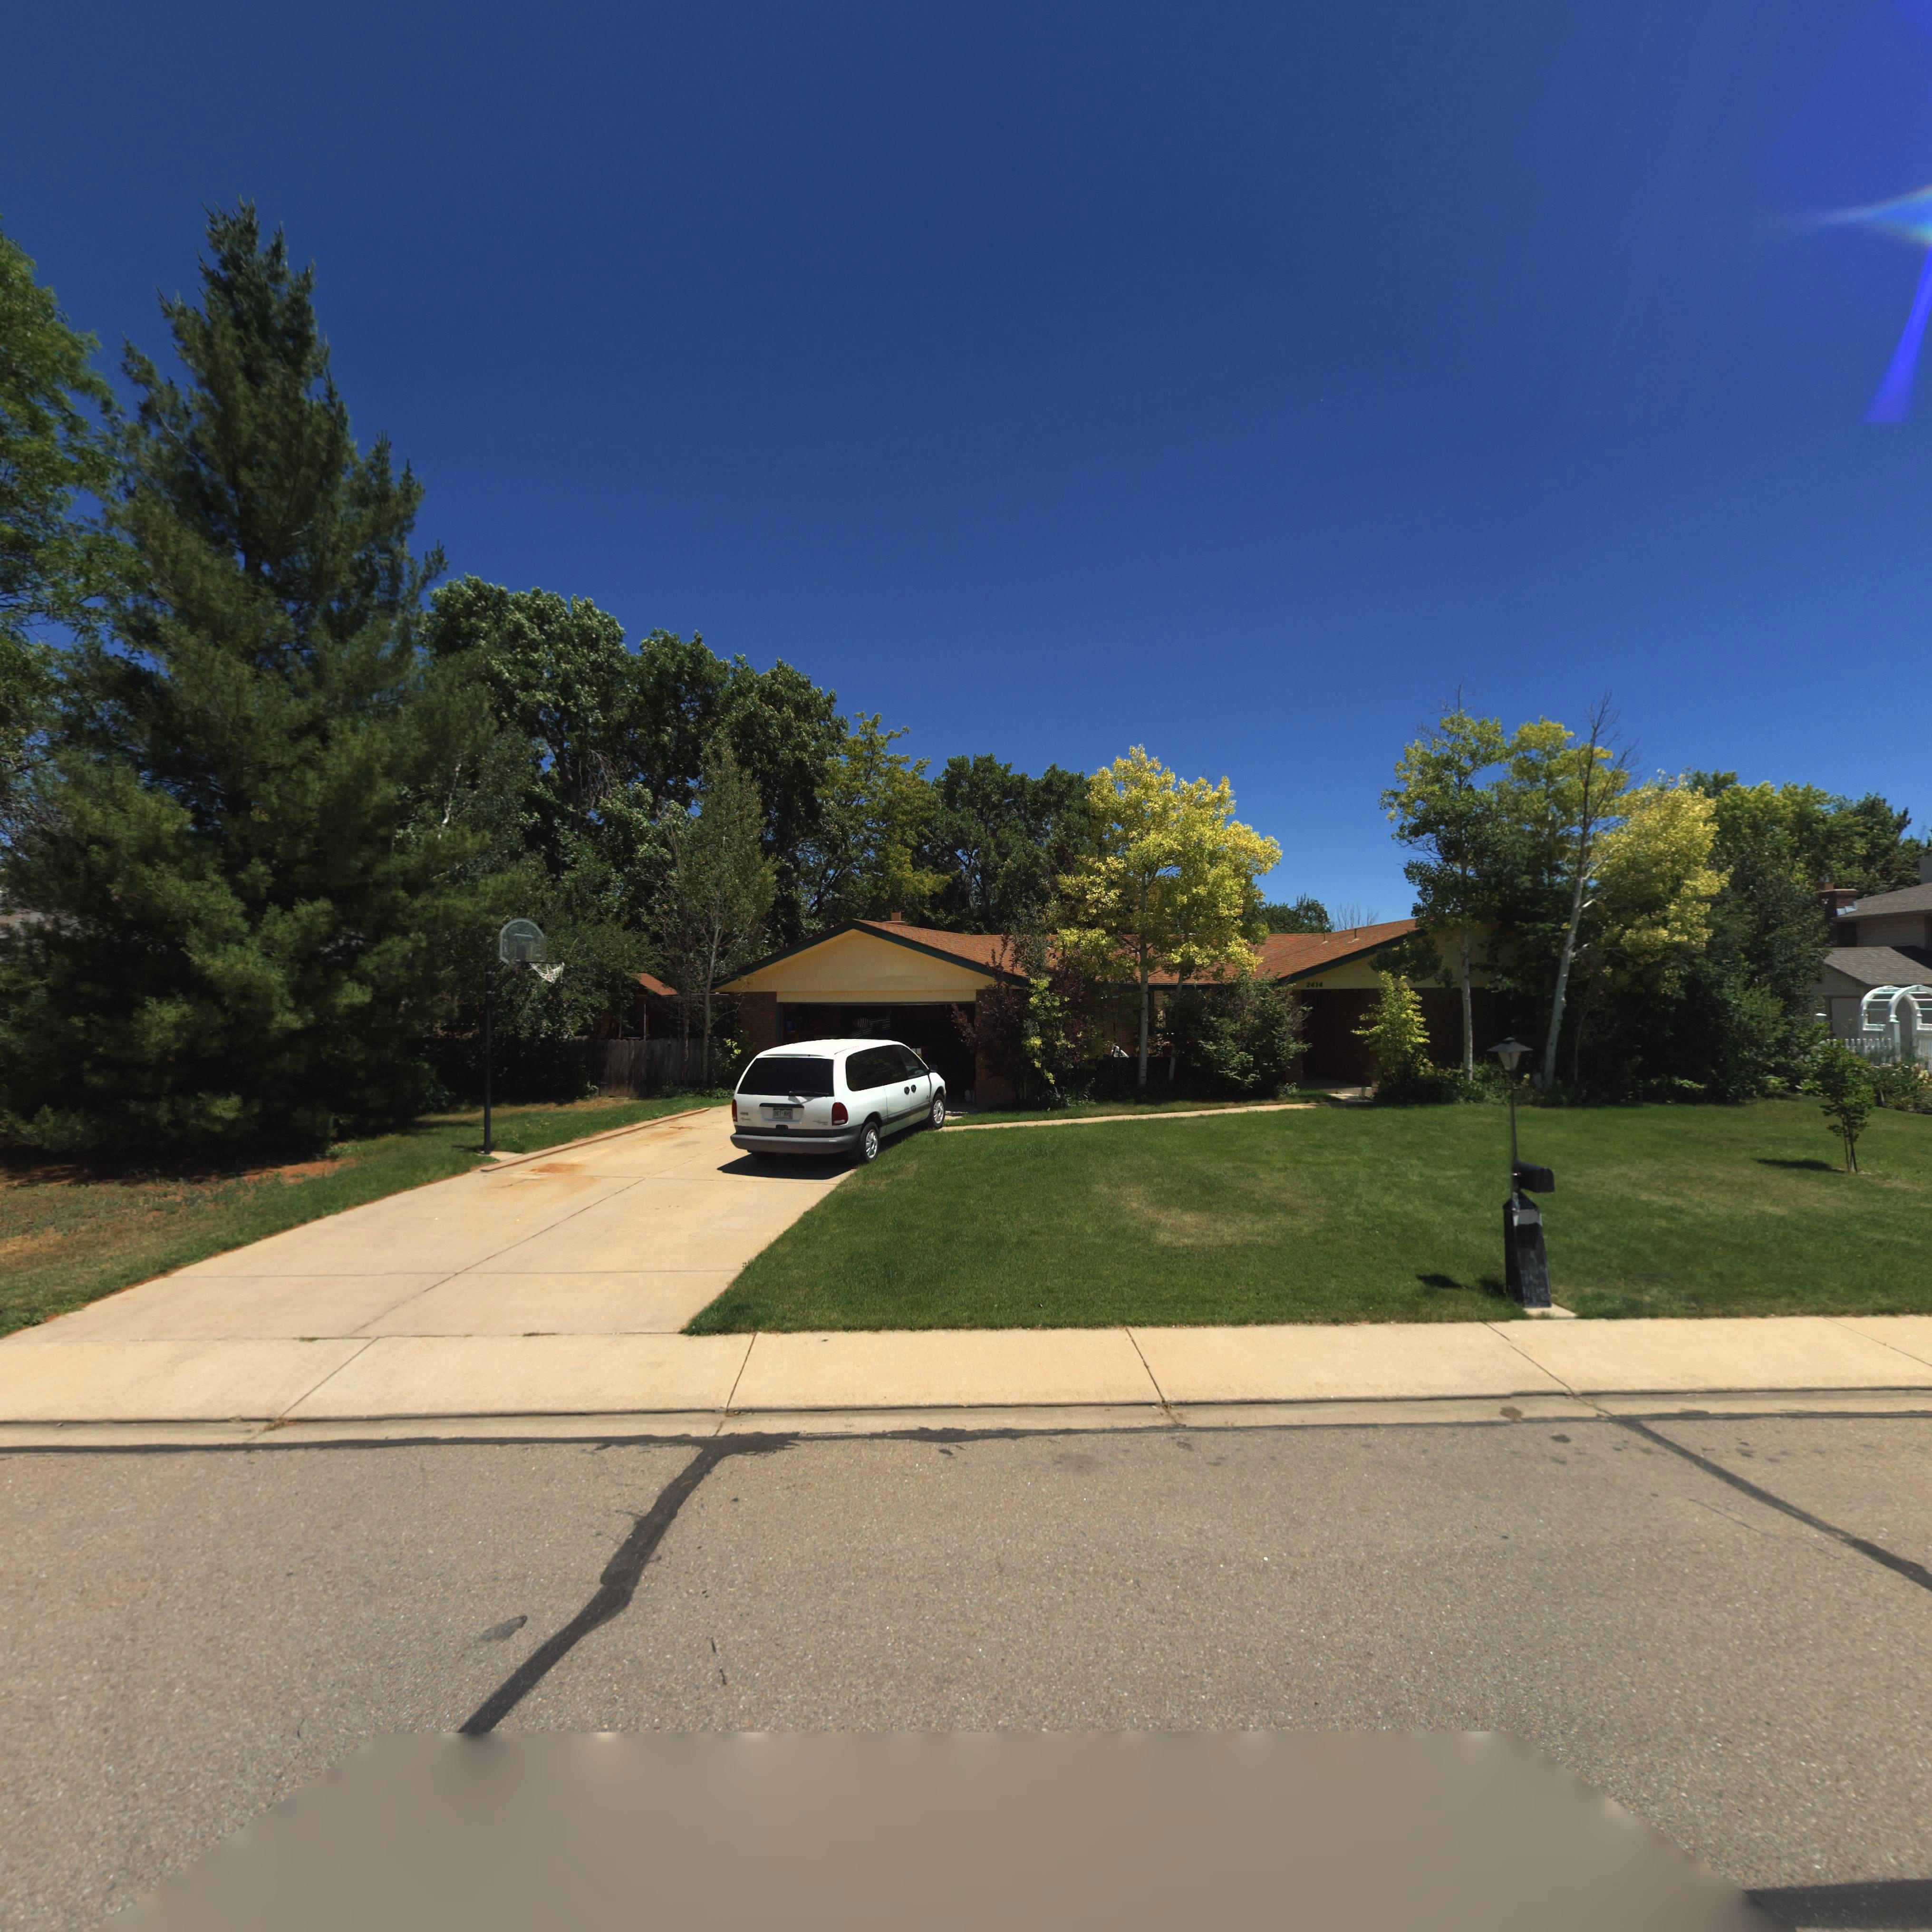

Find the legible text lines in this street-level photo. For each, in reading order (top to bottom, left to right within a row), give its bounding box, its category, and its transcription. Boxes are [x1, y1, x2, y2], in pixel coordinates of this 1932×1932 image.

[1305, 982, 1323, 987] StreetNumber: 2414